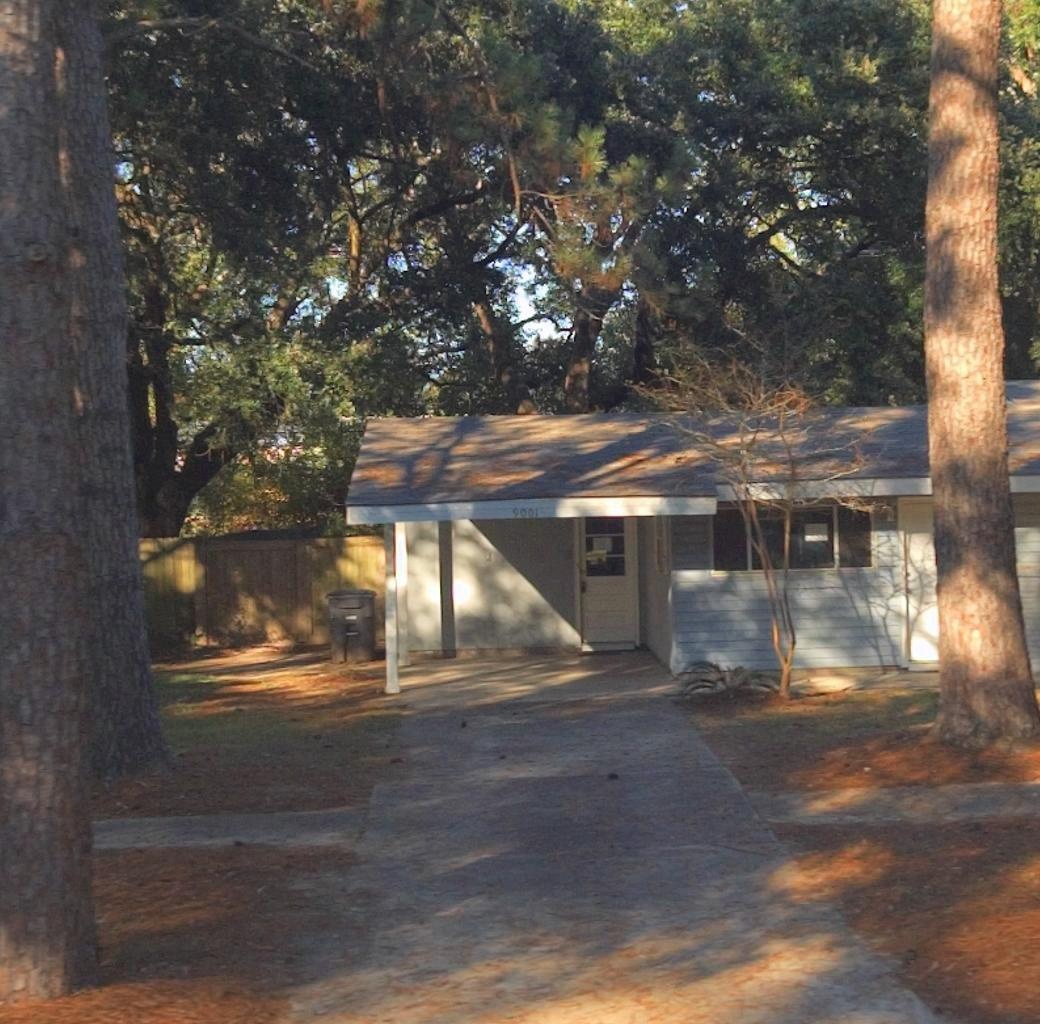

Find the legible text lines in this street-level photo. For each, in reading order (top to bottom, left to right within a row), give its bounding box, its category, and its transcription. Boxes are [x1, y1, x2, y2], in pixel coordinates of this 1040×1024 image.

[511, 507, 539, 519] StreetNumber: 9001